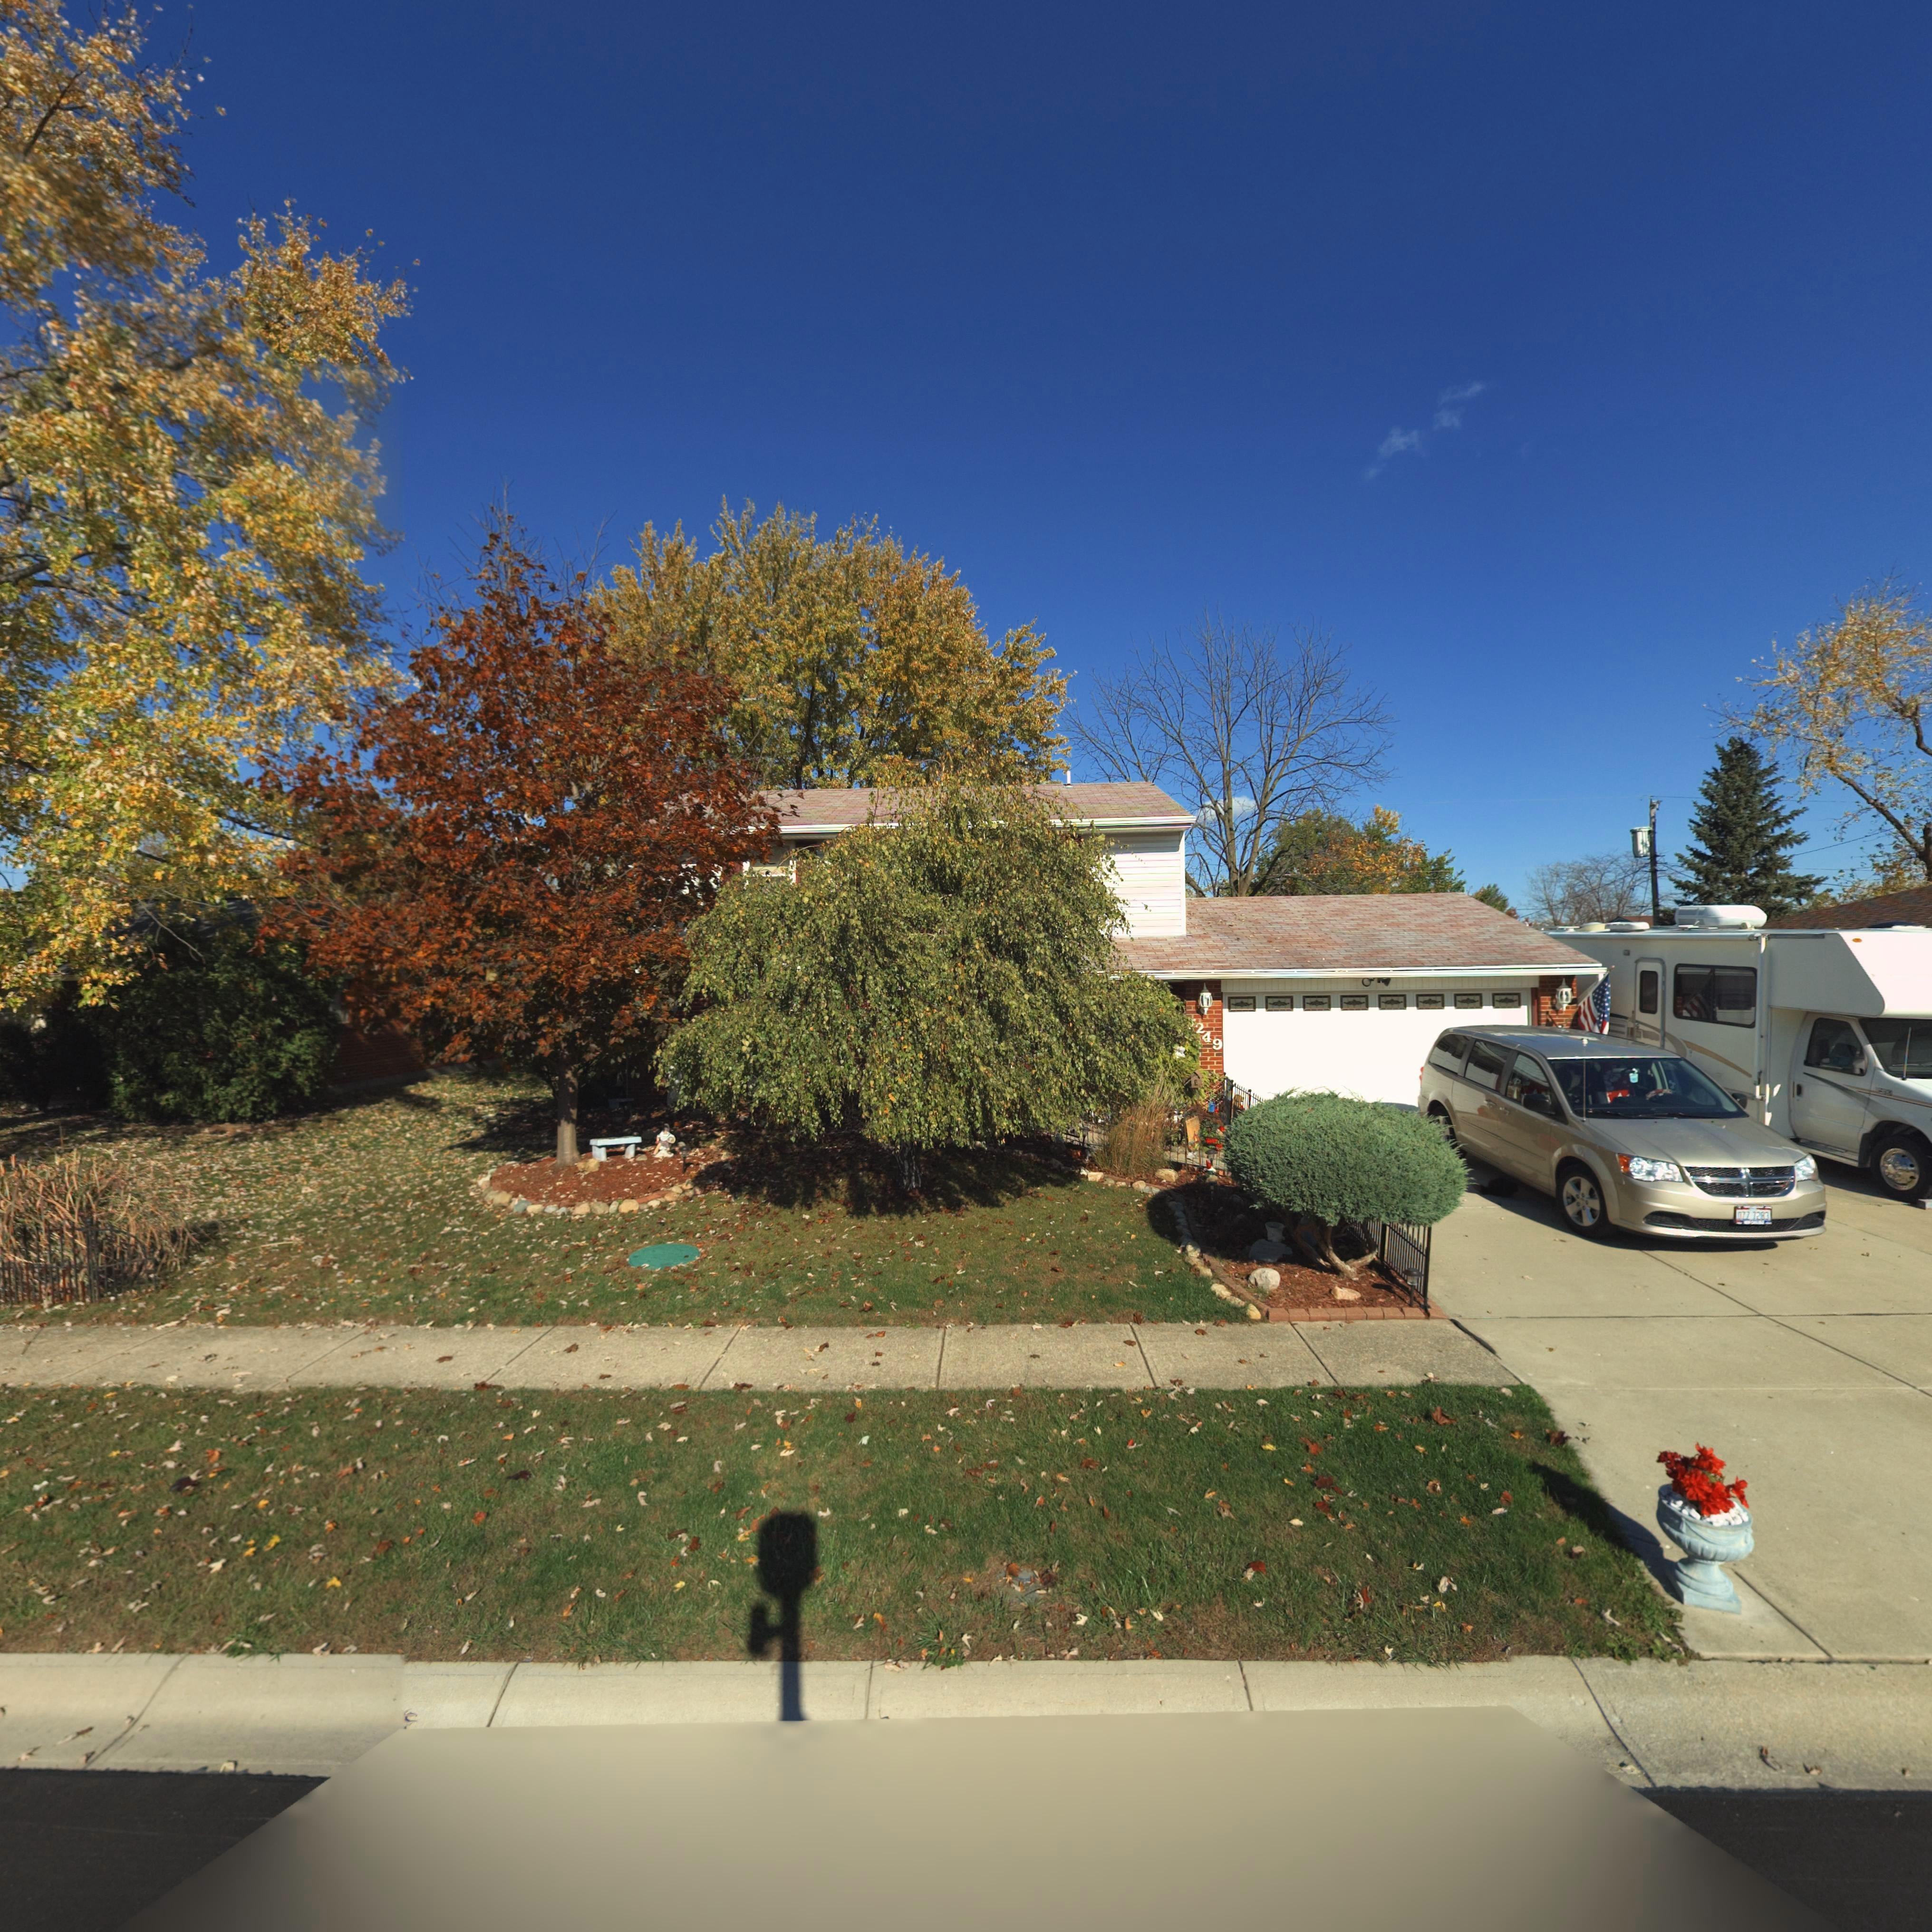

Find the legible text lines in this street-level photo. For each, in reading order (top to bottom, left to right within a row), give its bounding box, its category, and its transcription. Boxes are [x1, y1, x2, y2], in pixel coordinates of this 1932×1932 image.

[1194, 1022, 1224, 1052] StreetNumber: 249